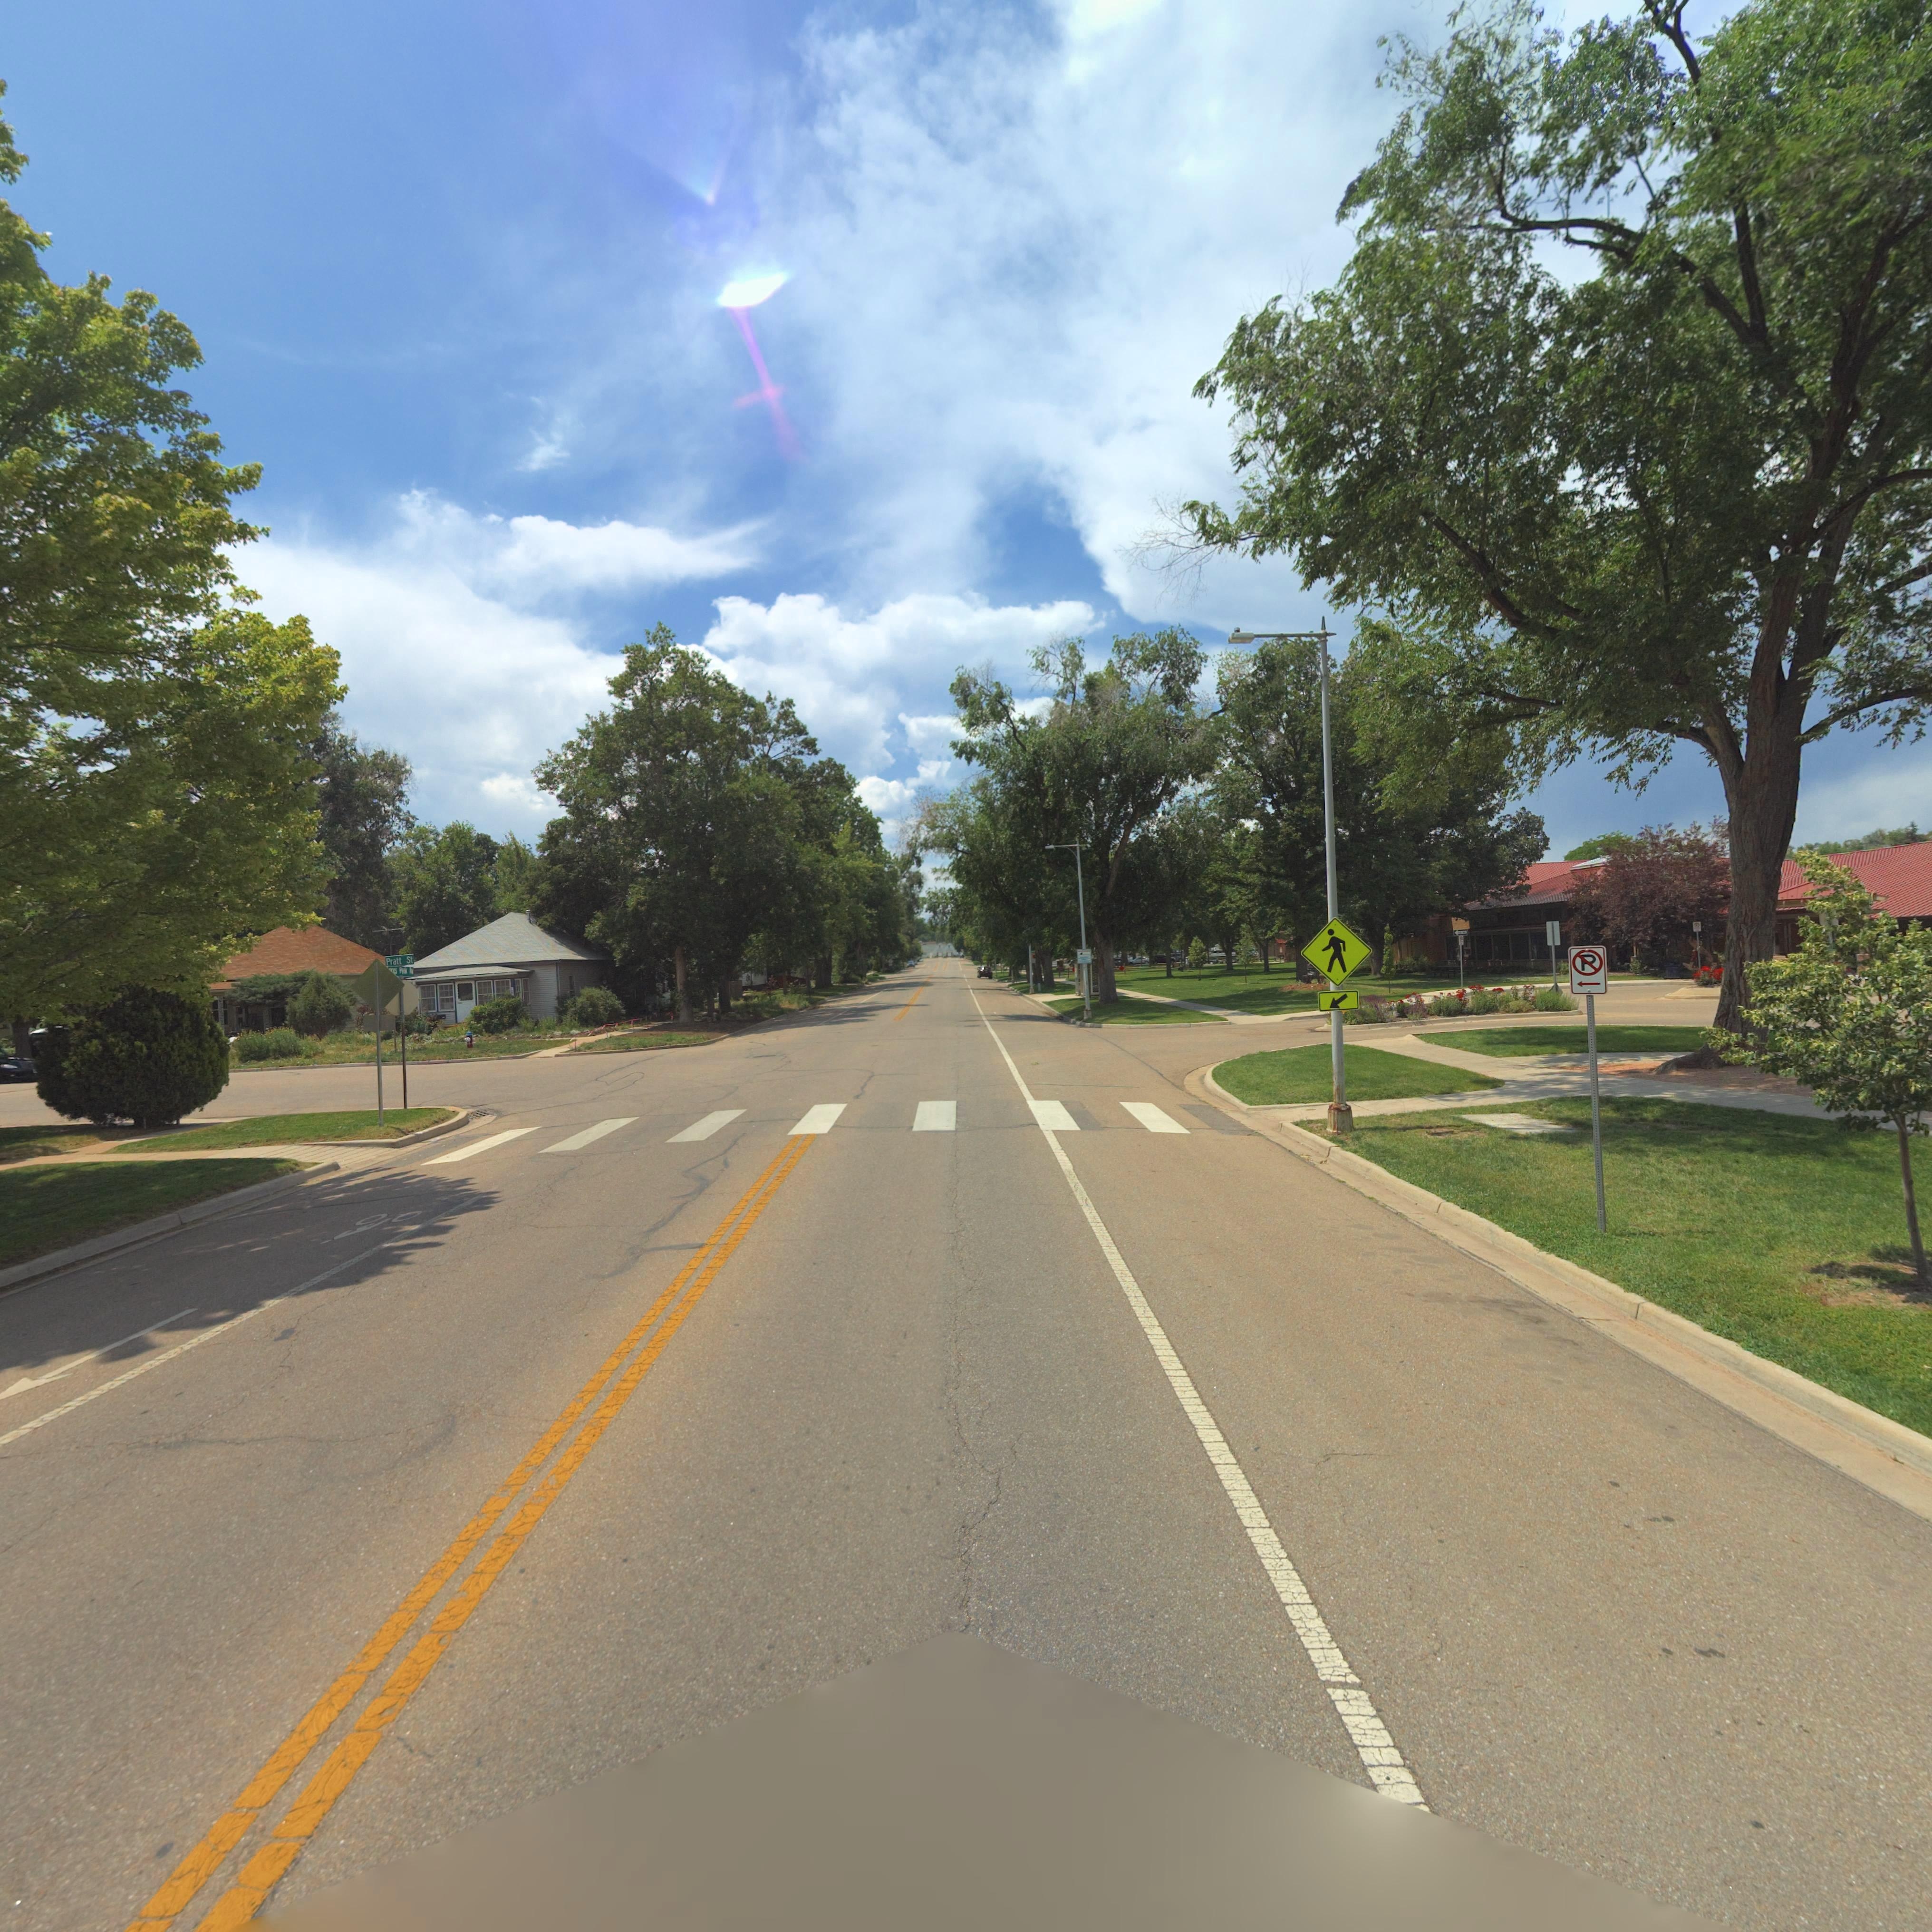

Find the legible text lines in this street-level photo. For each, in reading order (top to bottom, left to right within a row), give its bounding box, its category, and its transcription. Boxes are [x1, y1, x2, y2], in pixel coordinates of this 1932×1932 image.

[386, 956, 414, 966] StreetName: Pratt St
[388, 966, 413, 975] StreetName: ****s Peak Av